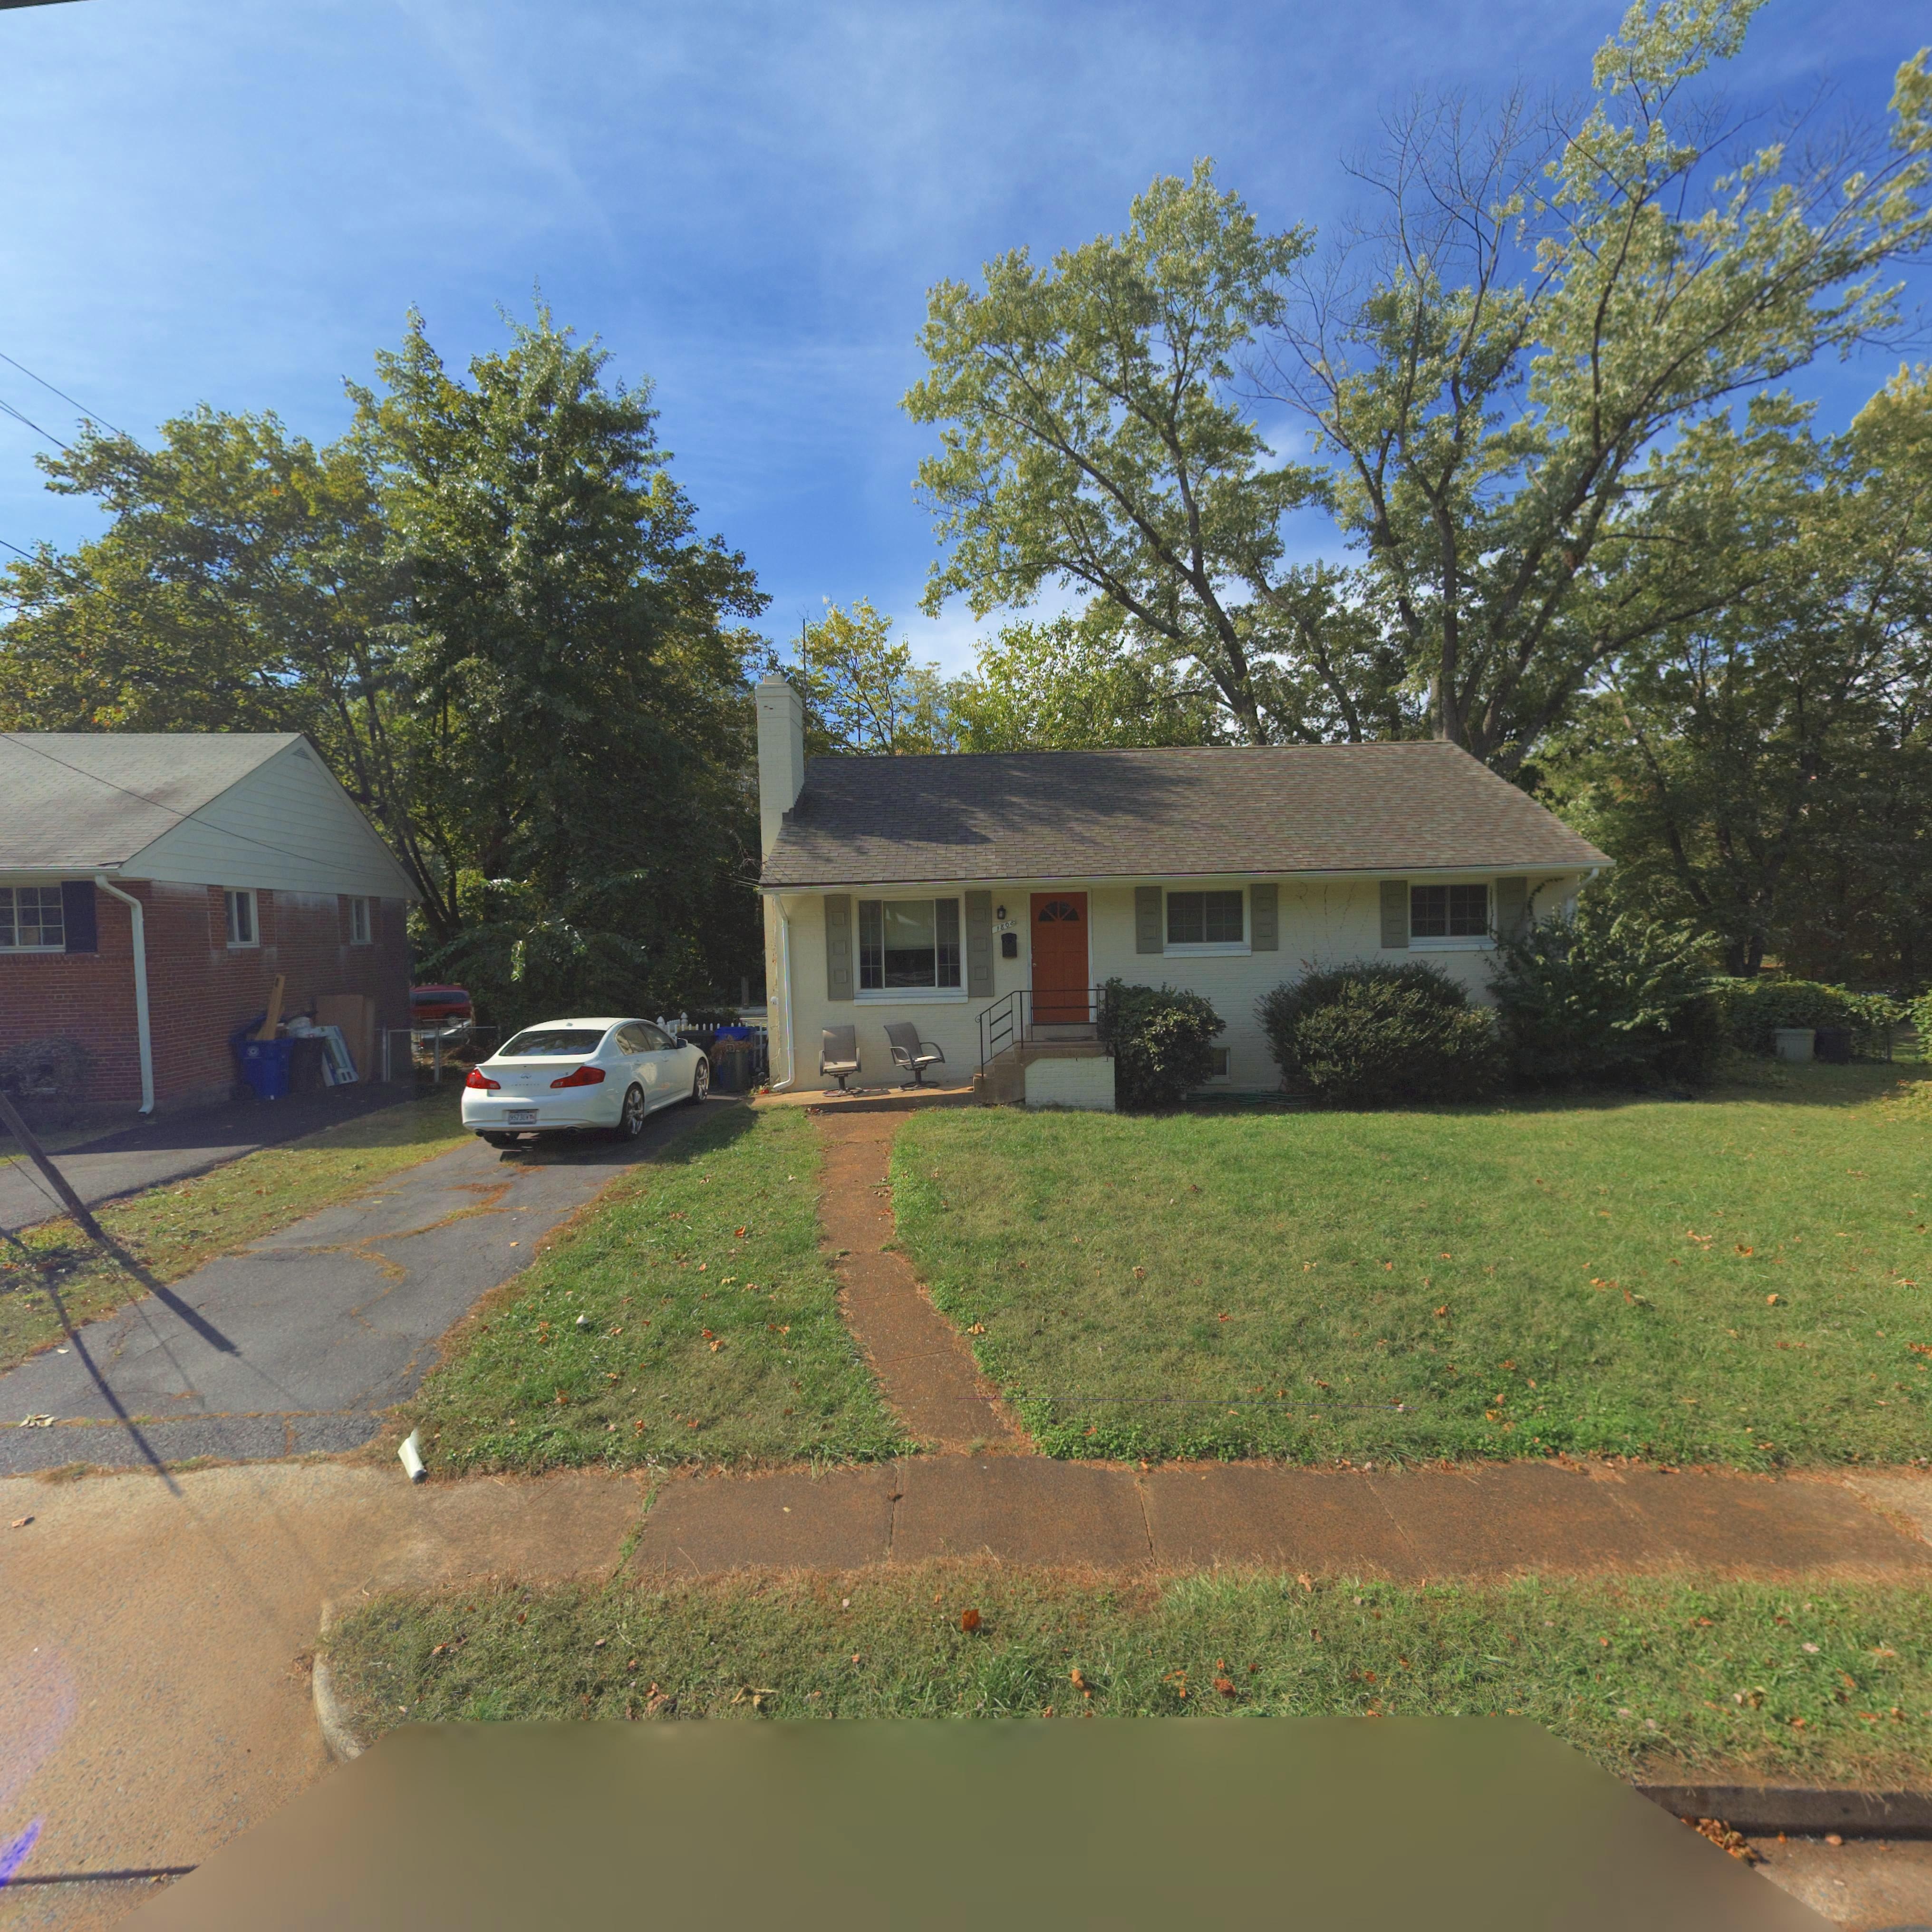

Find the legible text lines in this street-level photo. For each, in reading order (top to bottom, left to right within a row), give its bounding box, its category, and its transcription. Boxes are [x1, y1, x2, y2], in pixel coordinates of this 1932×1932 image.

[995, 918, 1016, 933] StreetNumber: 1808
[508, 1113, 524, 1122] None: 9573